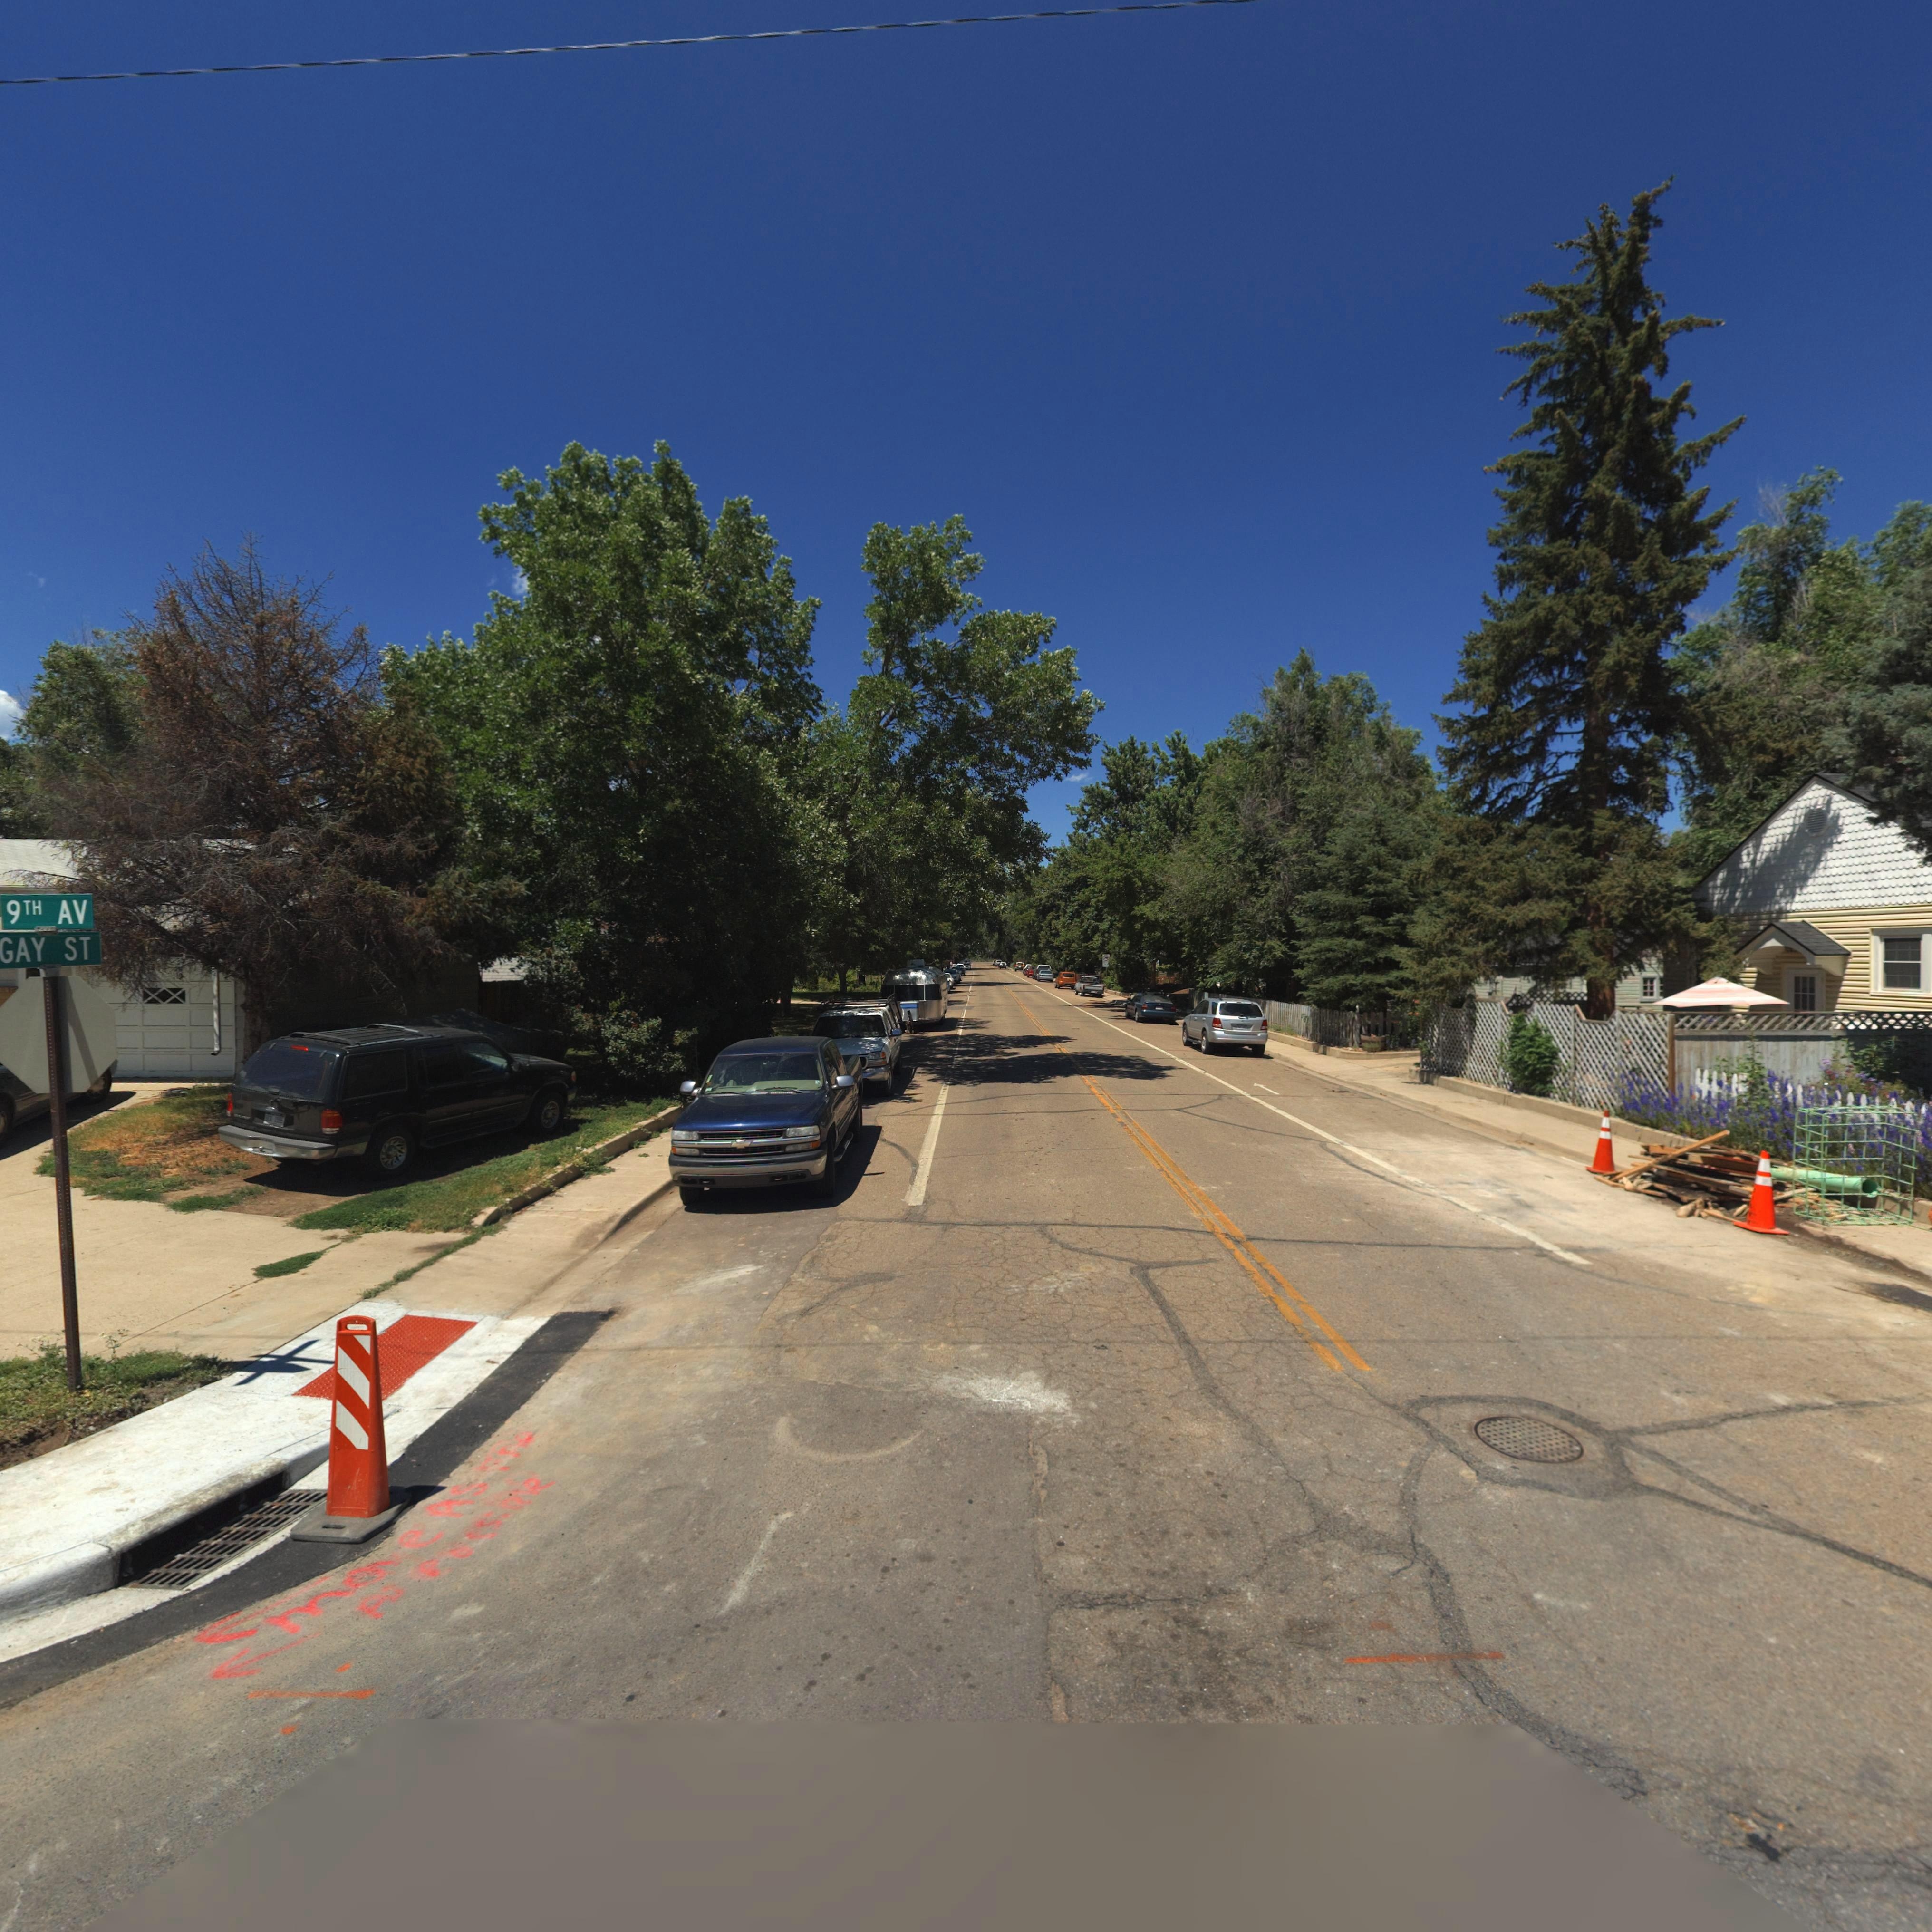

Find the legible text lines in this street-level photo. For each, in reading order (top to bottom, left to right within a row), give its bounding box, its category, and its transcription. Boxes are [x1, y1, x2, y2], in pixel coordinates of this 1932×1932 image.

[6, 899, 87, 925] StreetName: 9TH AV
[0, 936, 91, 964] StreetName: GAY ST